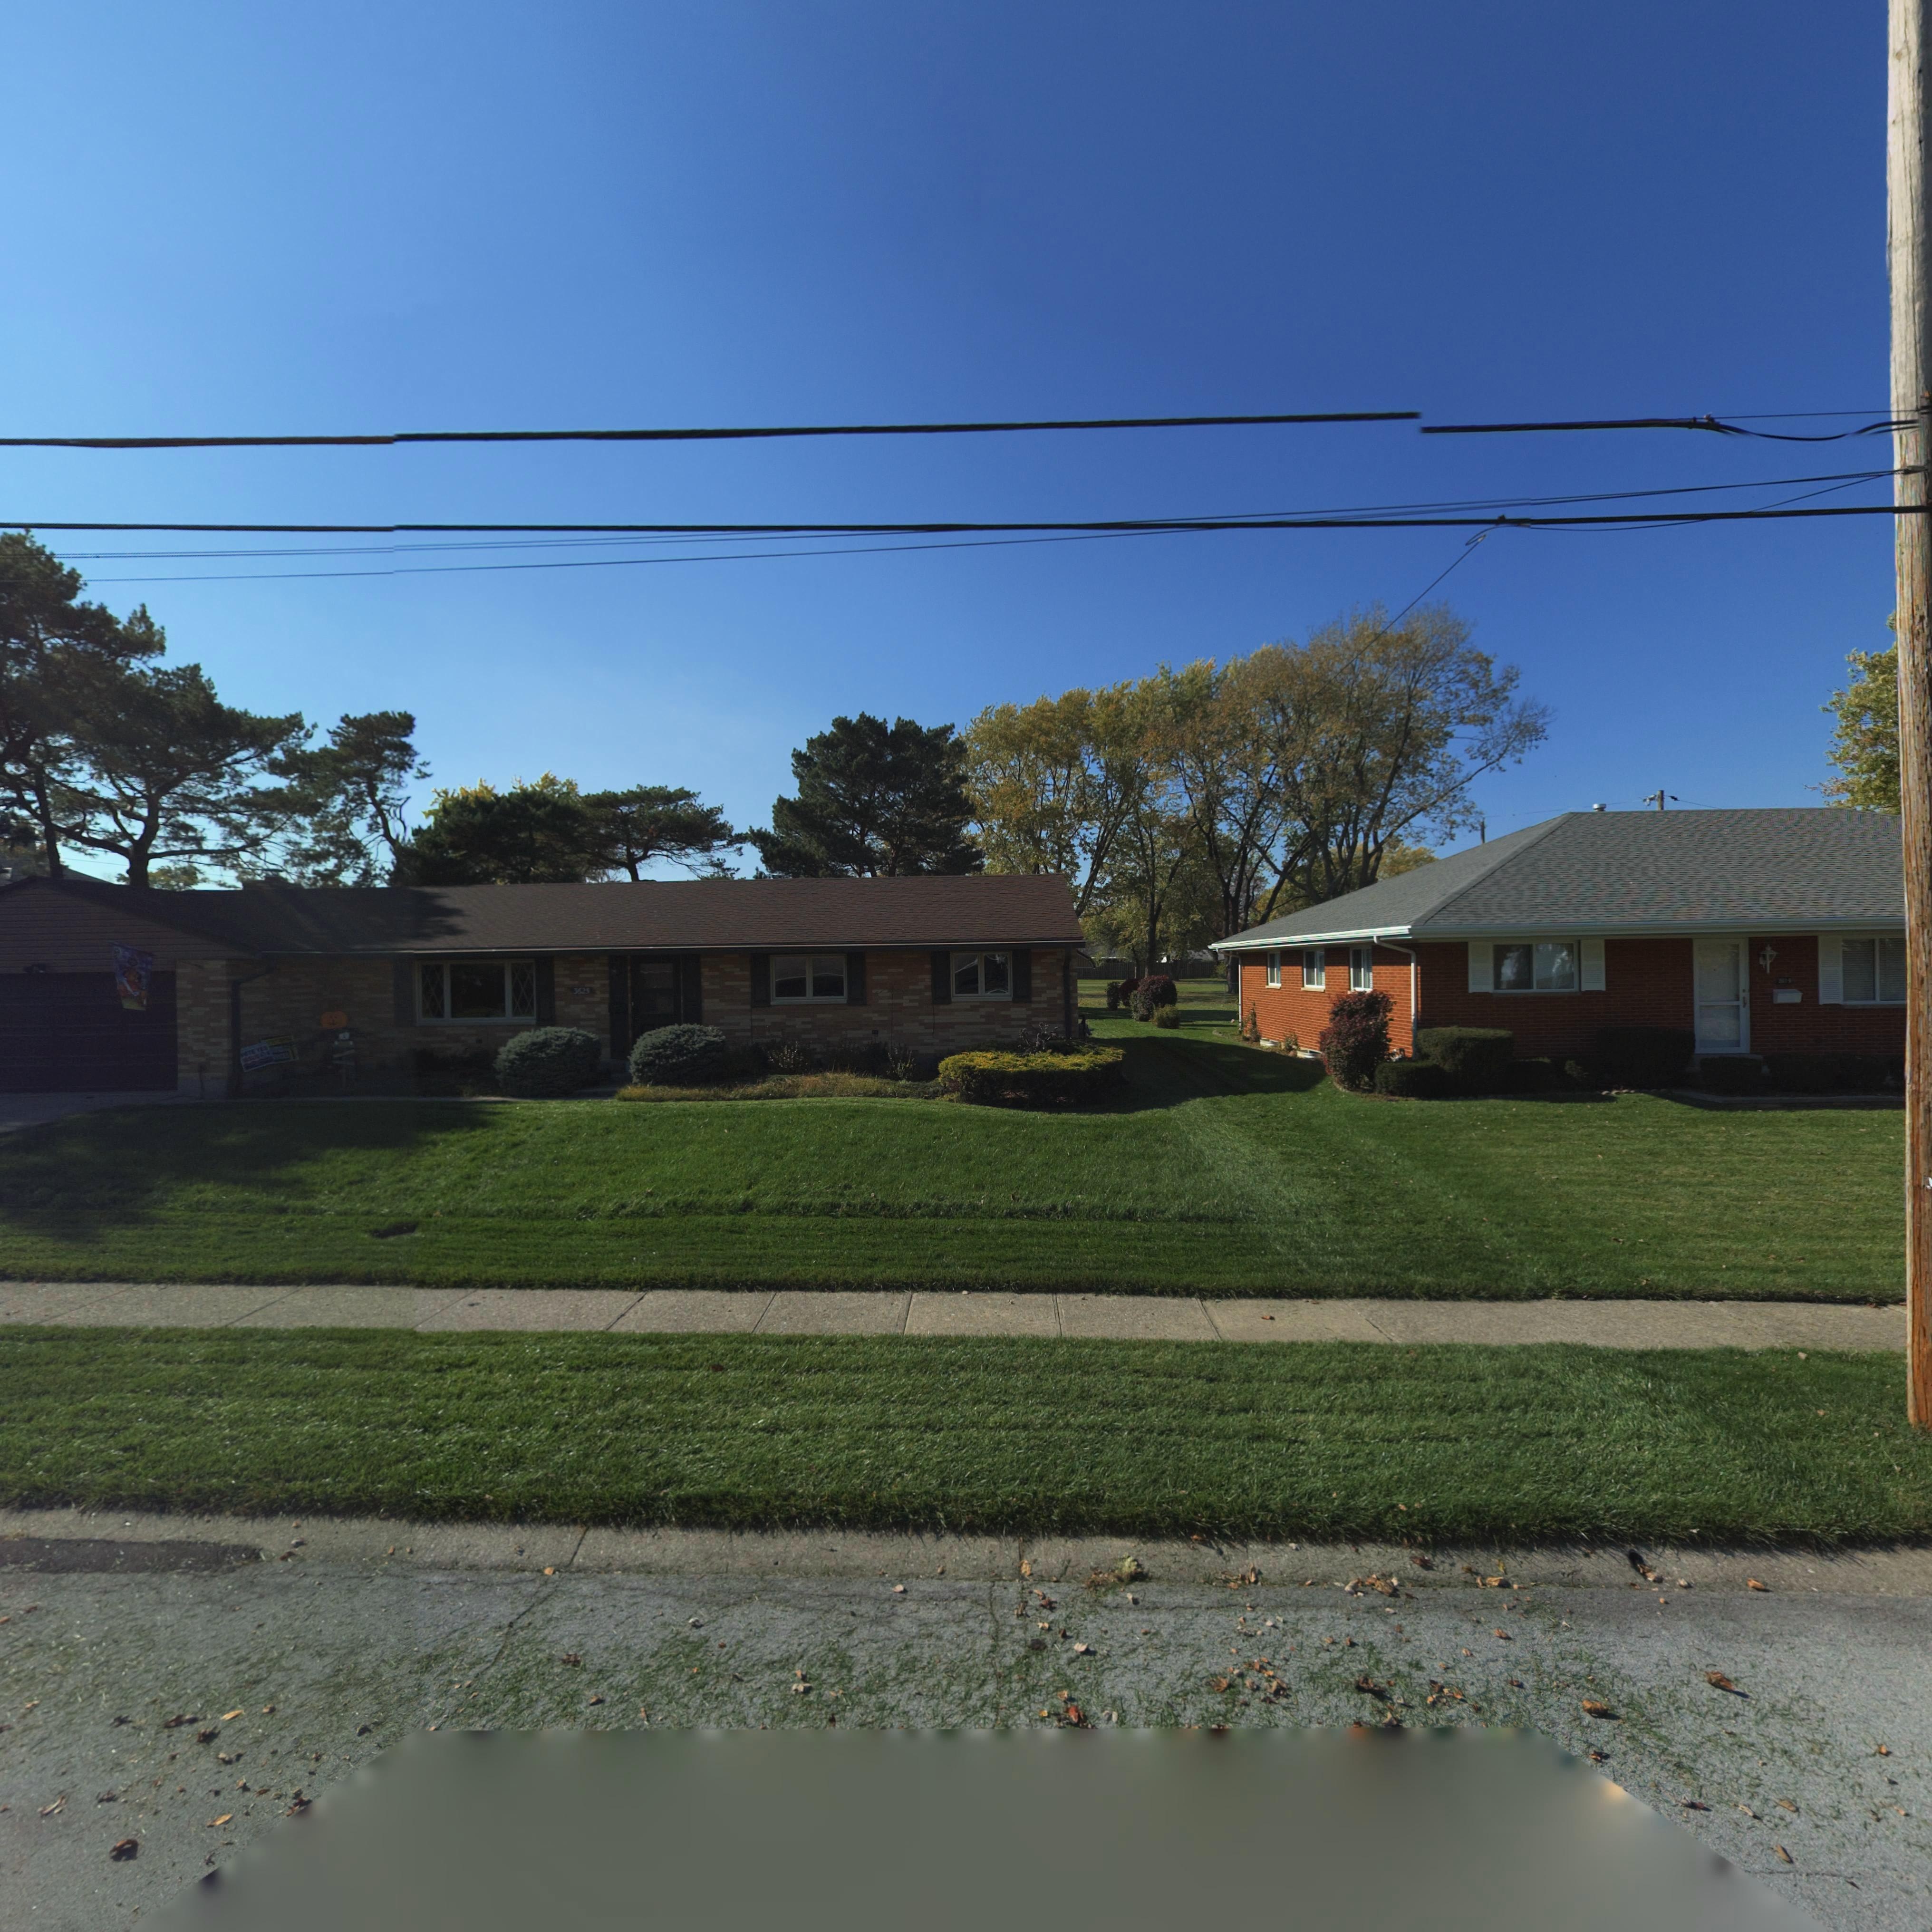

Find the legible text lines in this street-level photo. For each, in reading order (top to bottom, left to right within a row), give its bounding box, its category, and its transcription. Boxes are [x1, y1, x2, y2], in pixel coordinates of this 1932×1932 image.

[1778, 977, 1791, 984] StreetNumber: 3619
[573, 987, 590, 994] StreetNumber: 3625